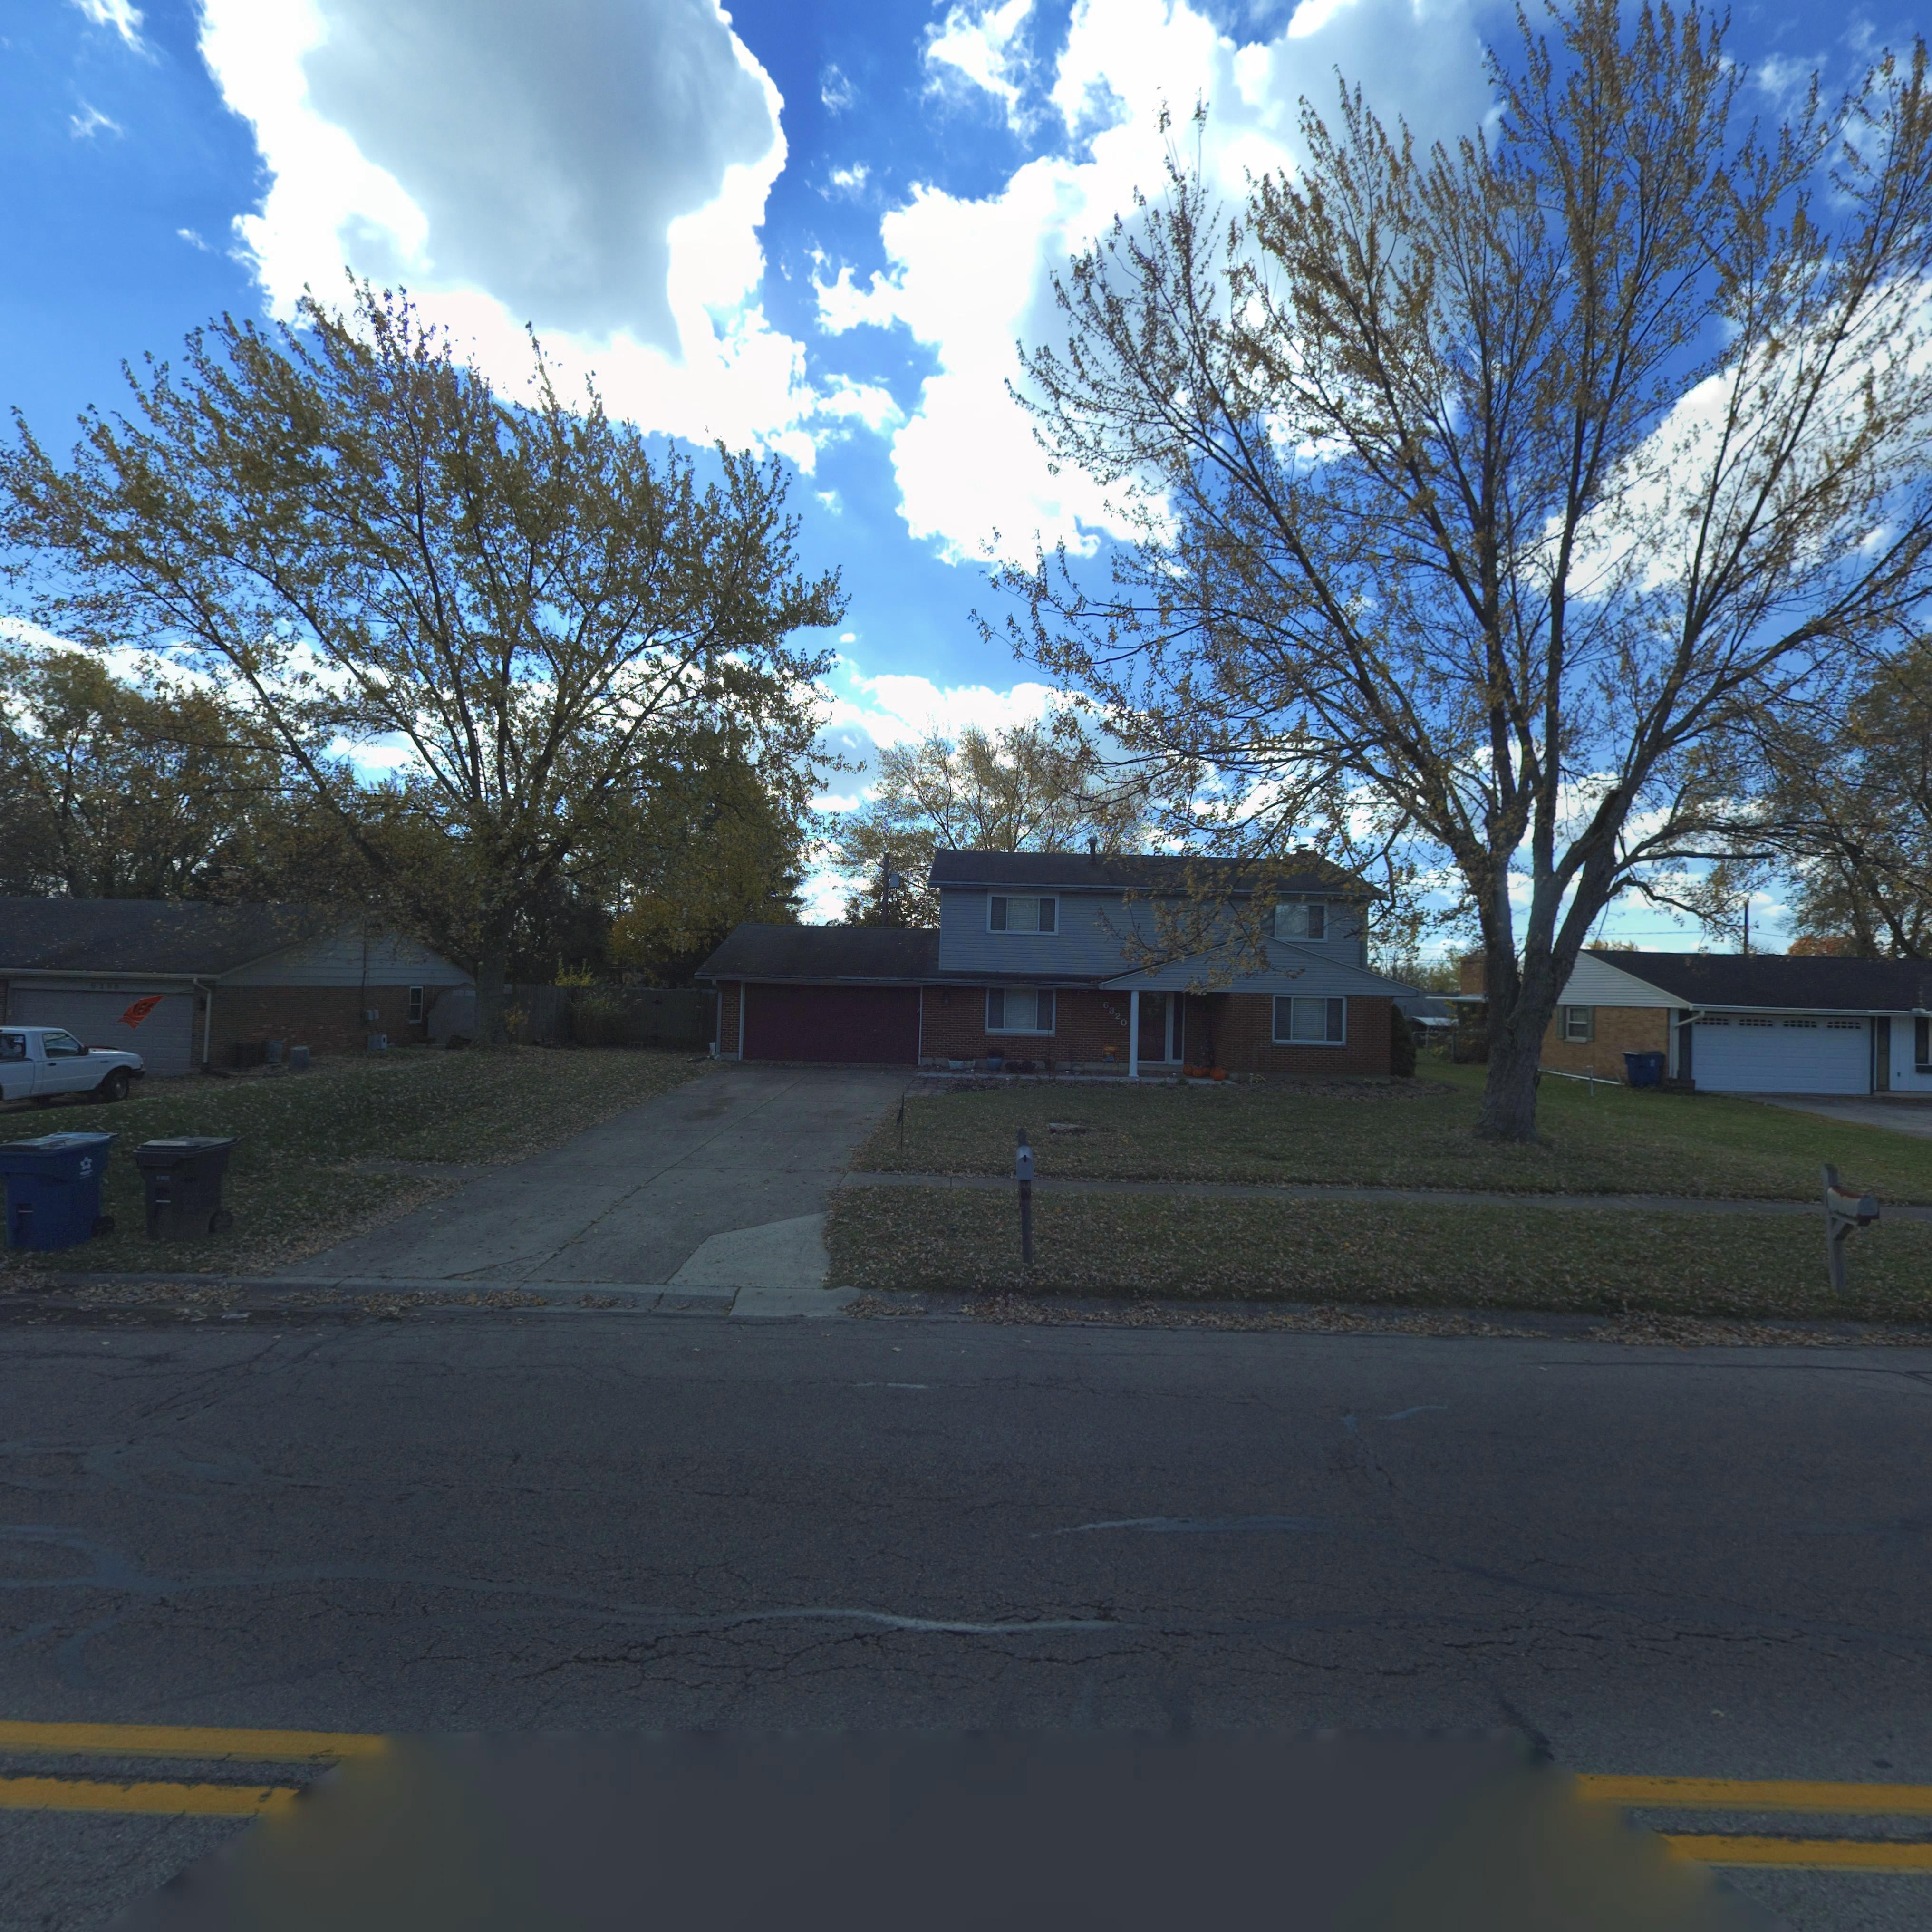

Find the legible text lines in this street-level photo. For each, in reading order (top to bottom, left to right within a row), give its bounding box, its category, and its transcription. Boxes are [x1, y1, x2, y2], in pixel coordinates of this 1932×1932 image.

[90, 981, 119, 990] StreetNumber: 6388
[1102, 1001, 1128, 1027] StreetNumber: 6320